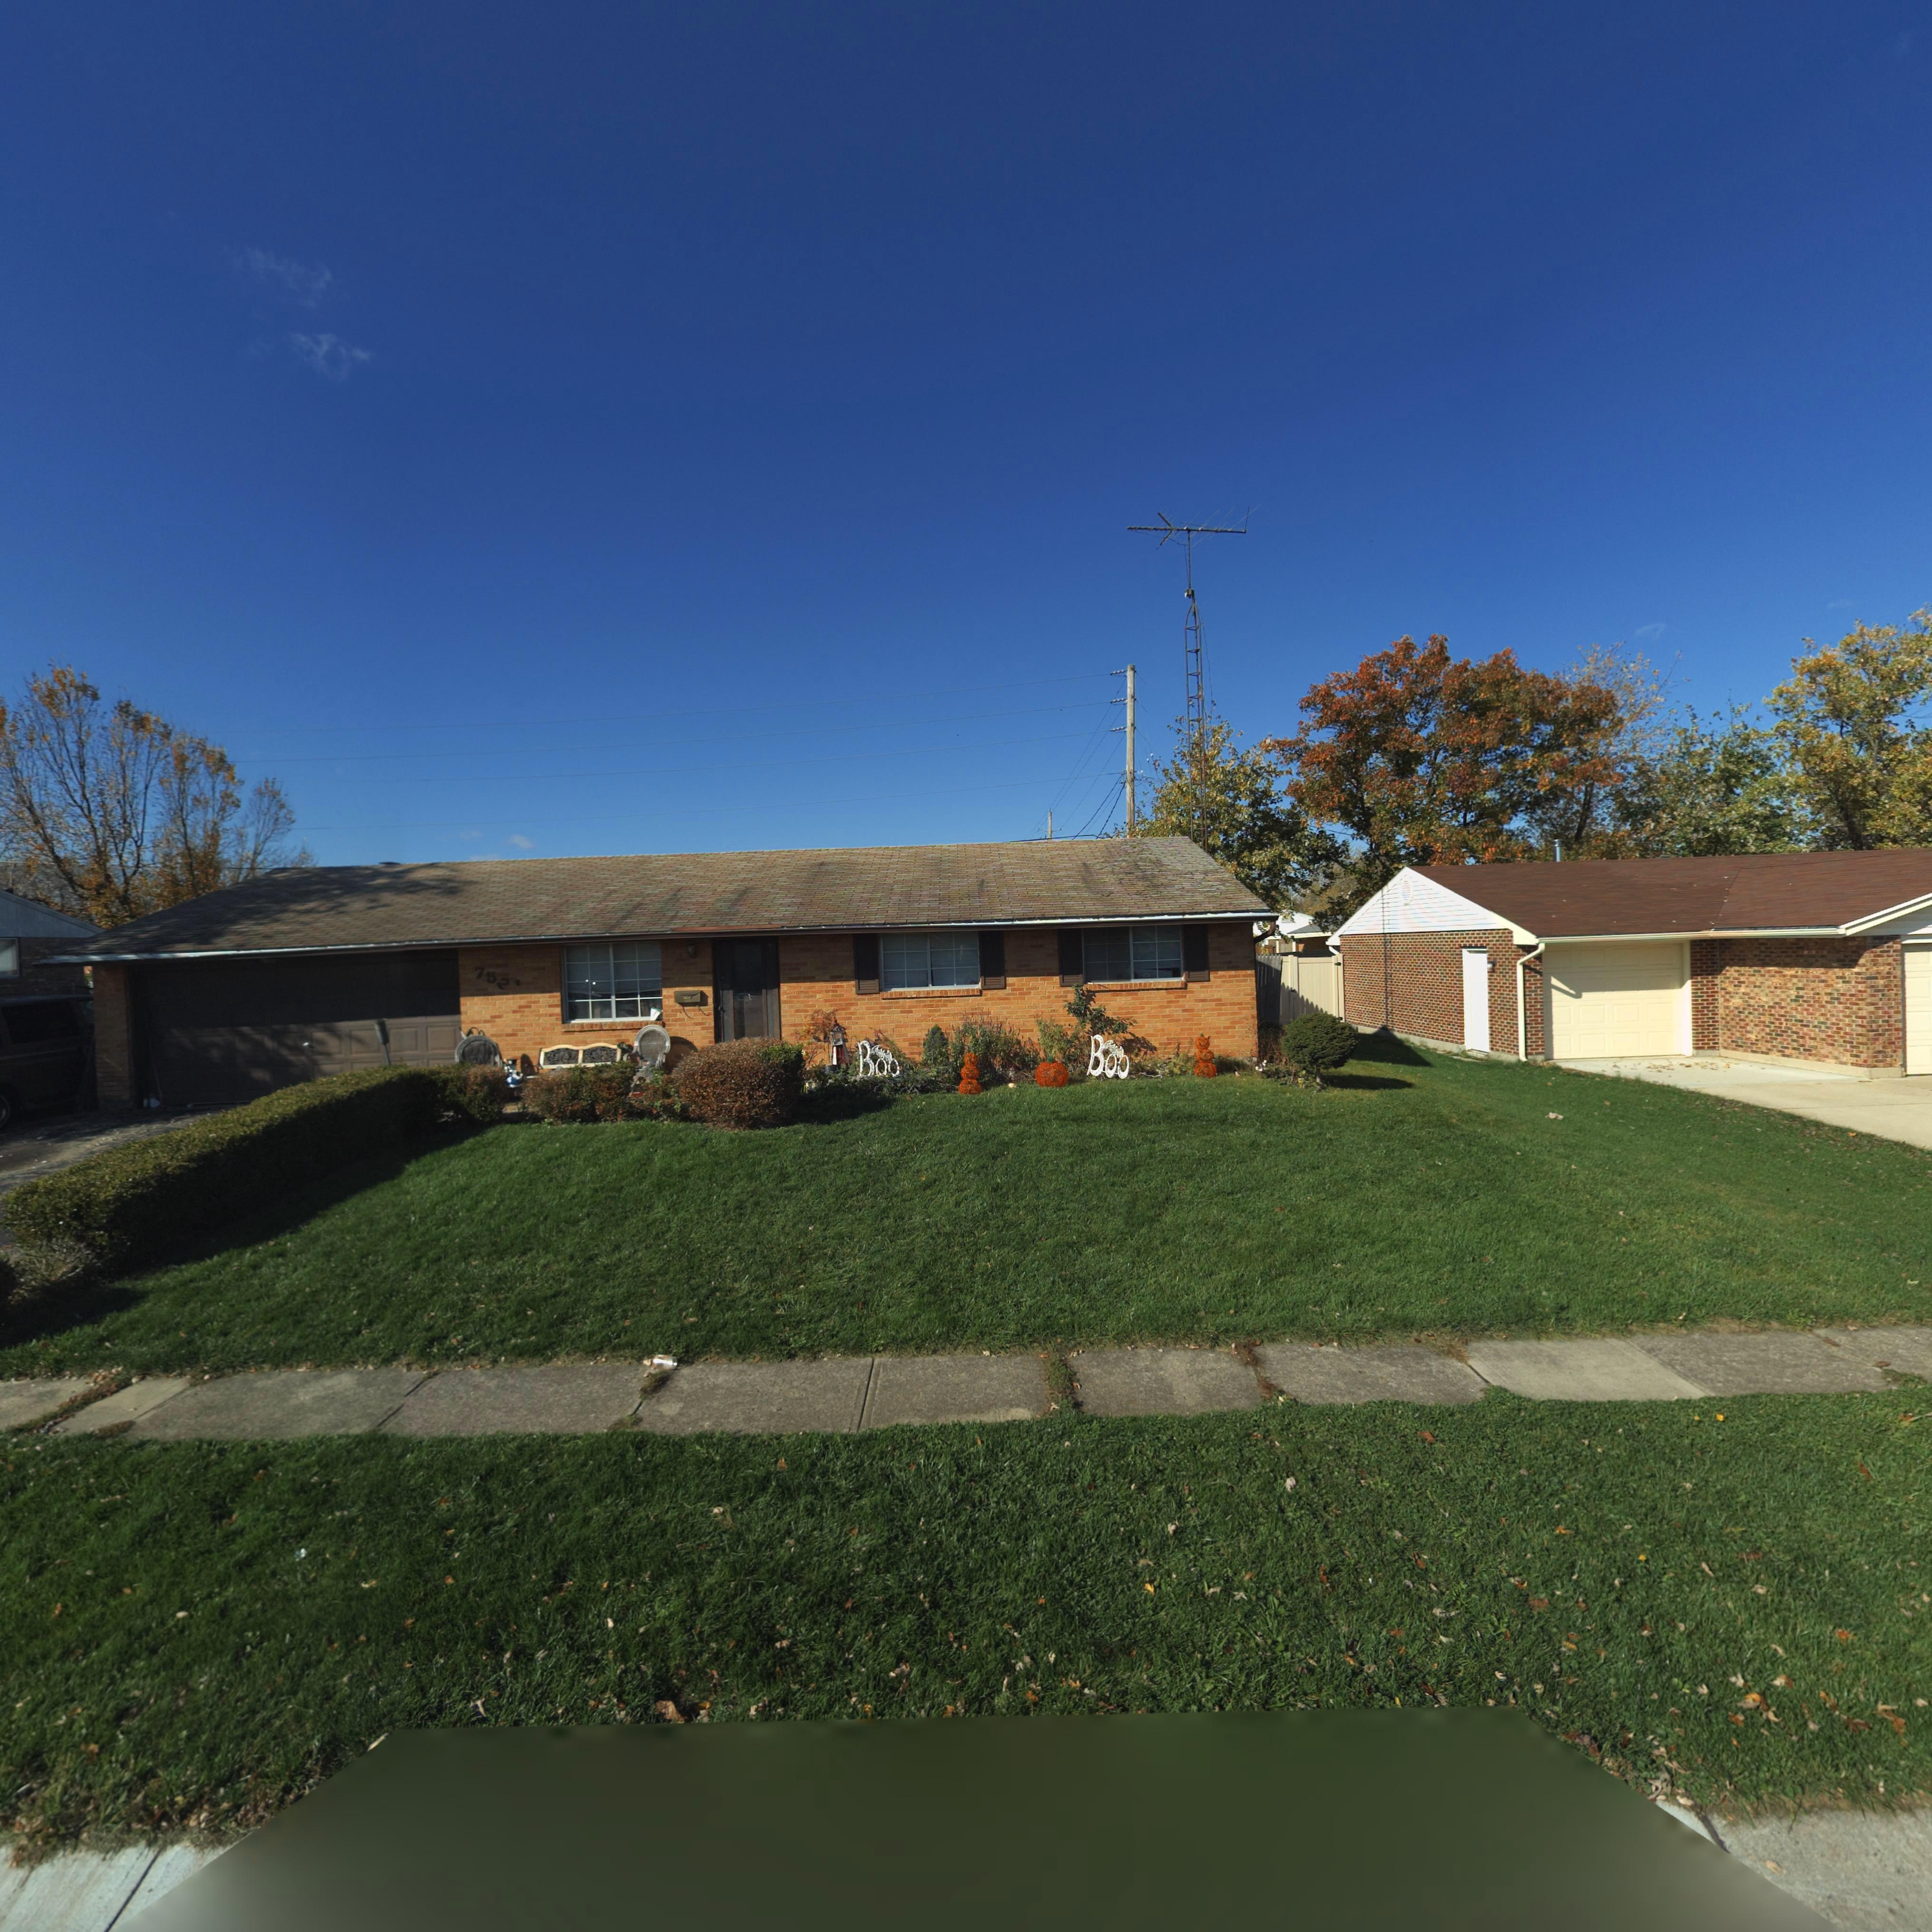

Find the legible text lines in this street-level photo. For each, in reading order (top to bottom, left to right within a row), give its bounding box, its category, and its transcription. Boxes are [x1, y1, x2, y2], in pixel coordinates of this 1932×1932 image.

[473, 966, 511, 991] StreetNumber: 752